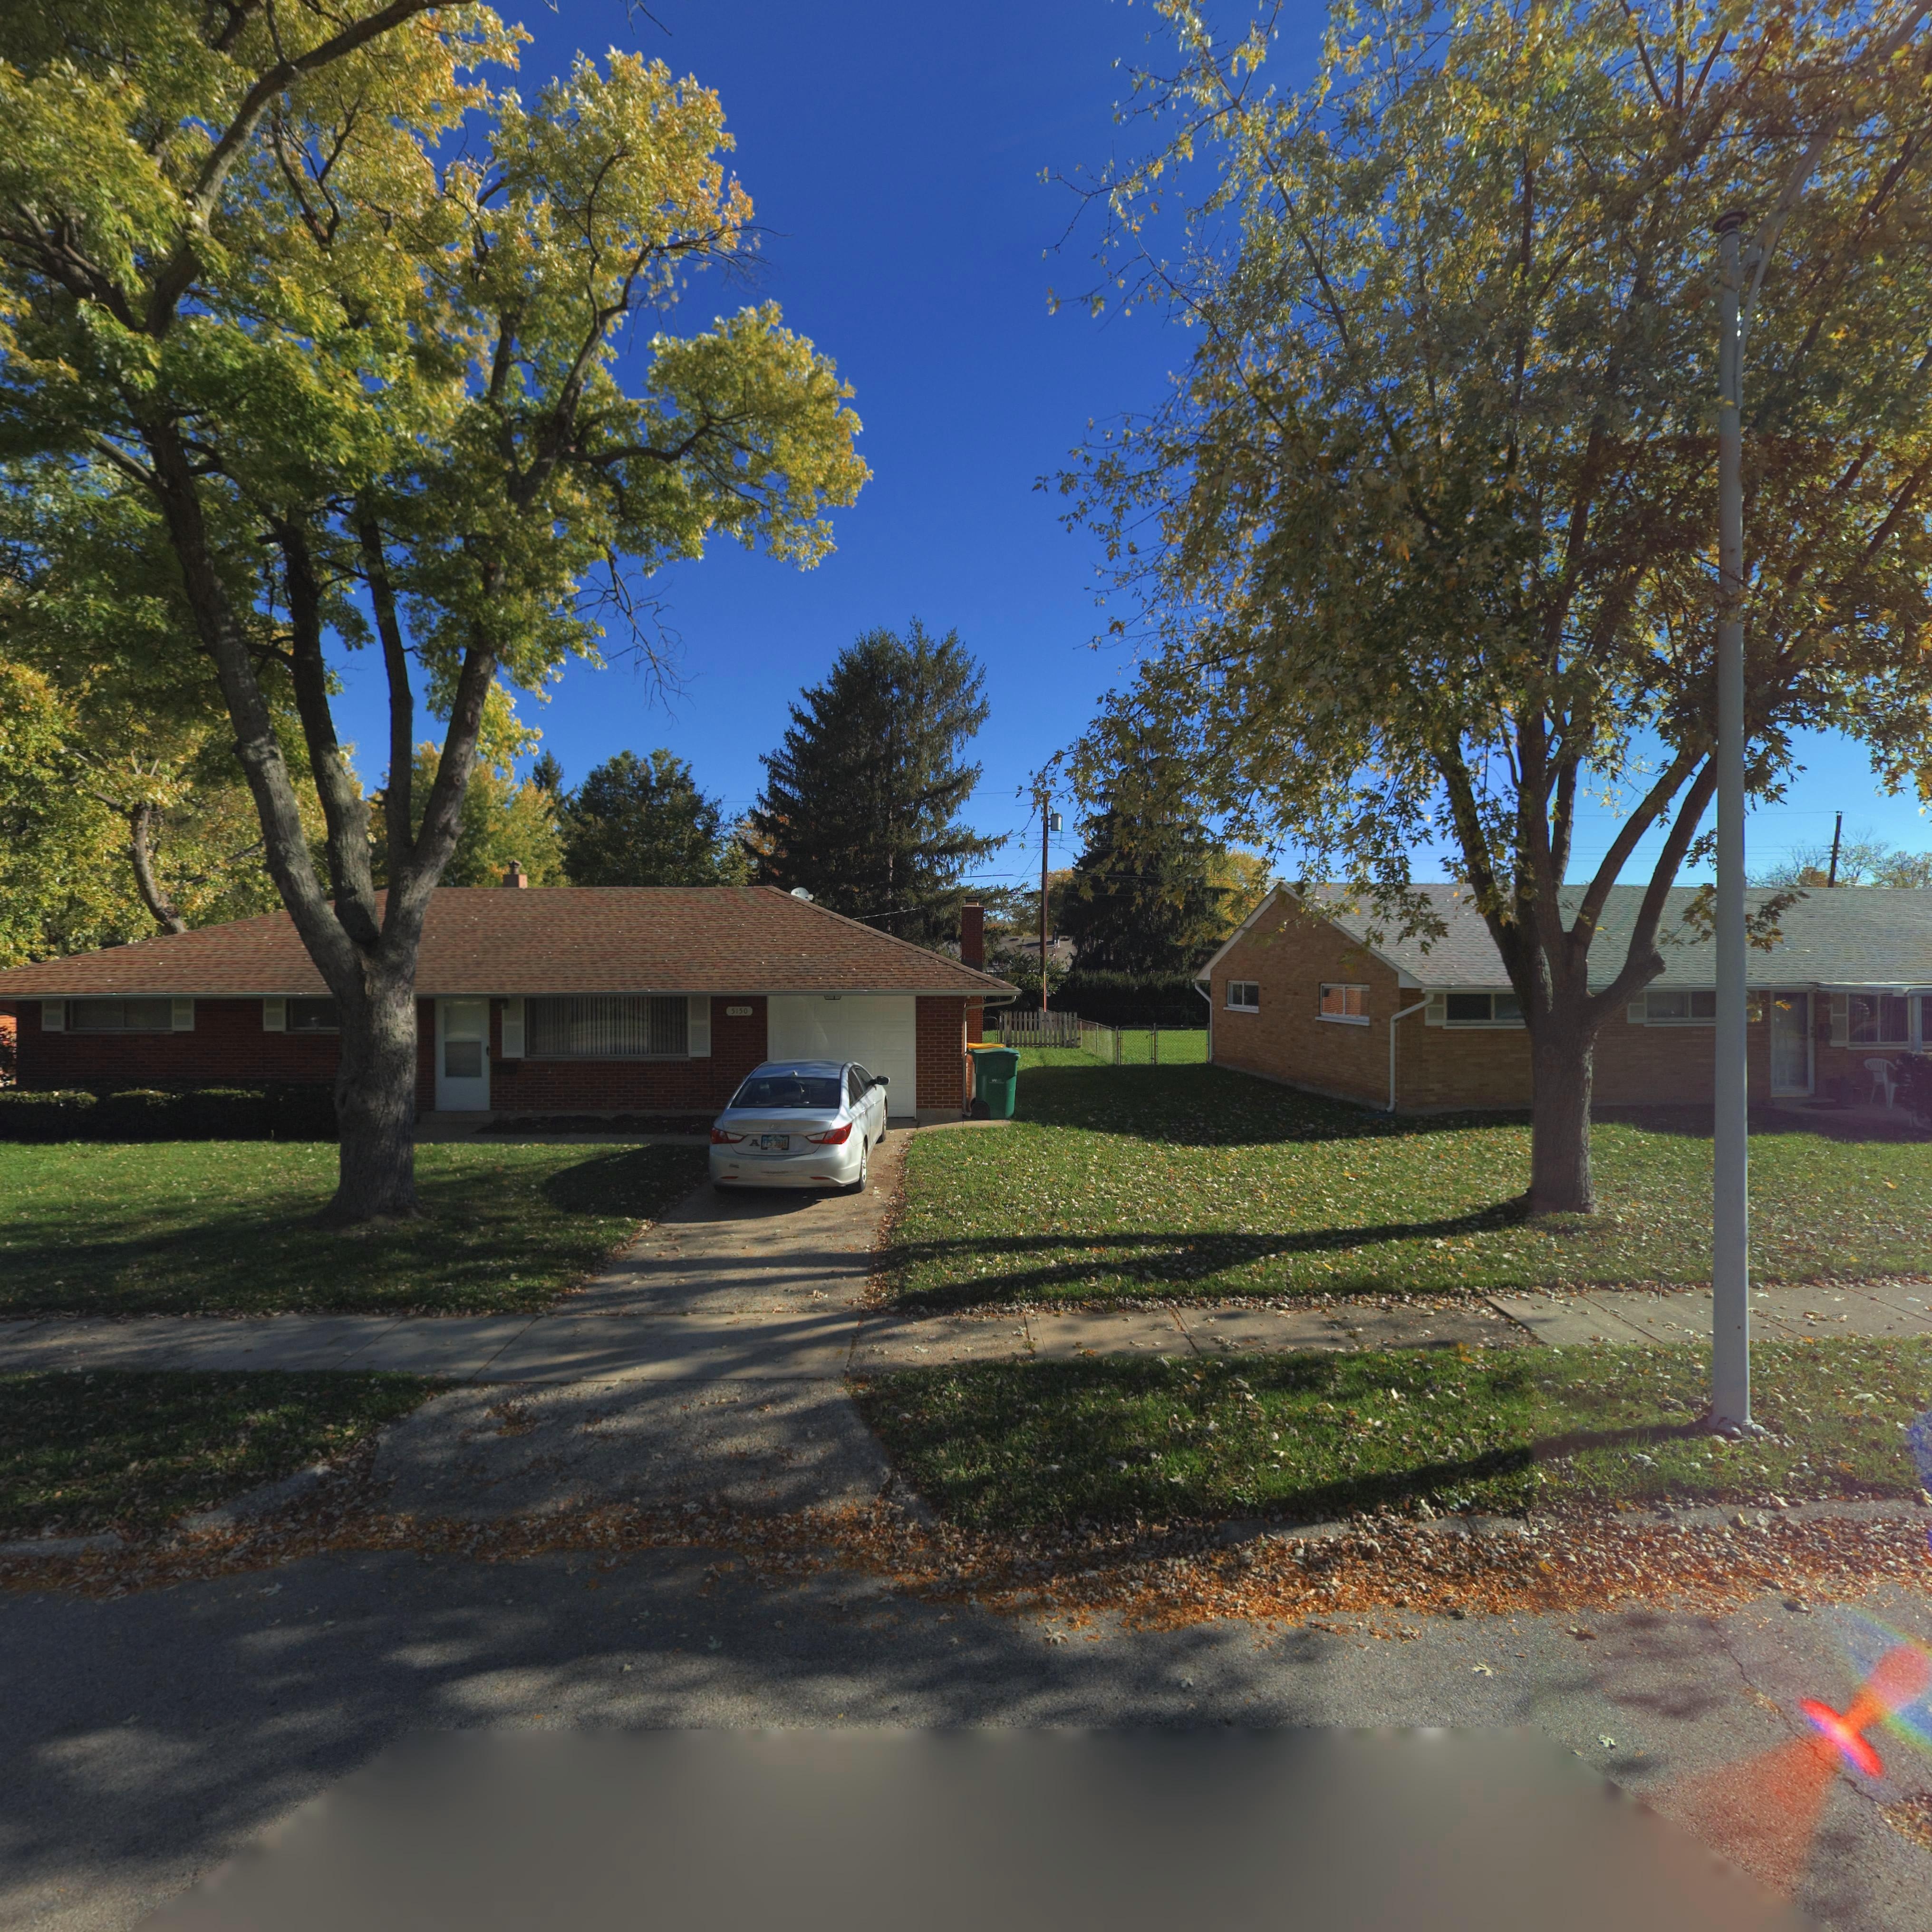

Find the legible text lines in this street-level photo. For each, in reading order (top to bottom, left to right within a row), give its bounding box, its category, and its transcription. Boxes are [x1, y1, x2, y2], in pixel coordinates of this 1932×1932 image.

[731, 1007, 748, 1015] StreetNumber: 5150